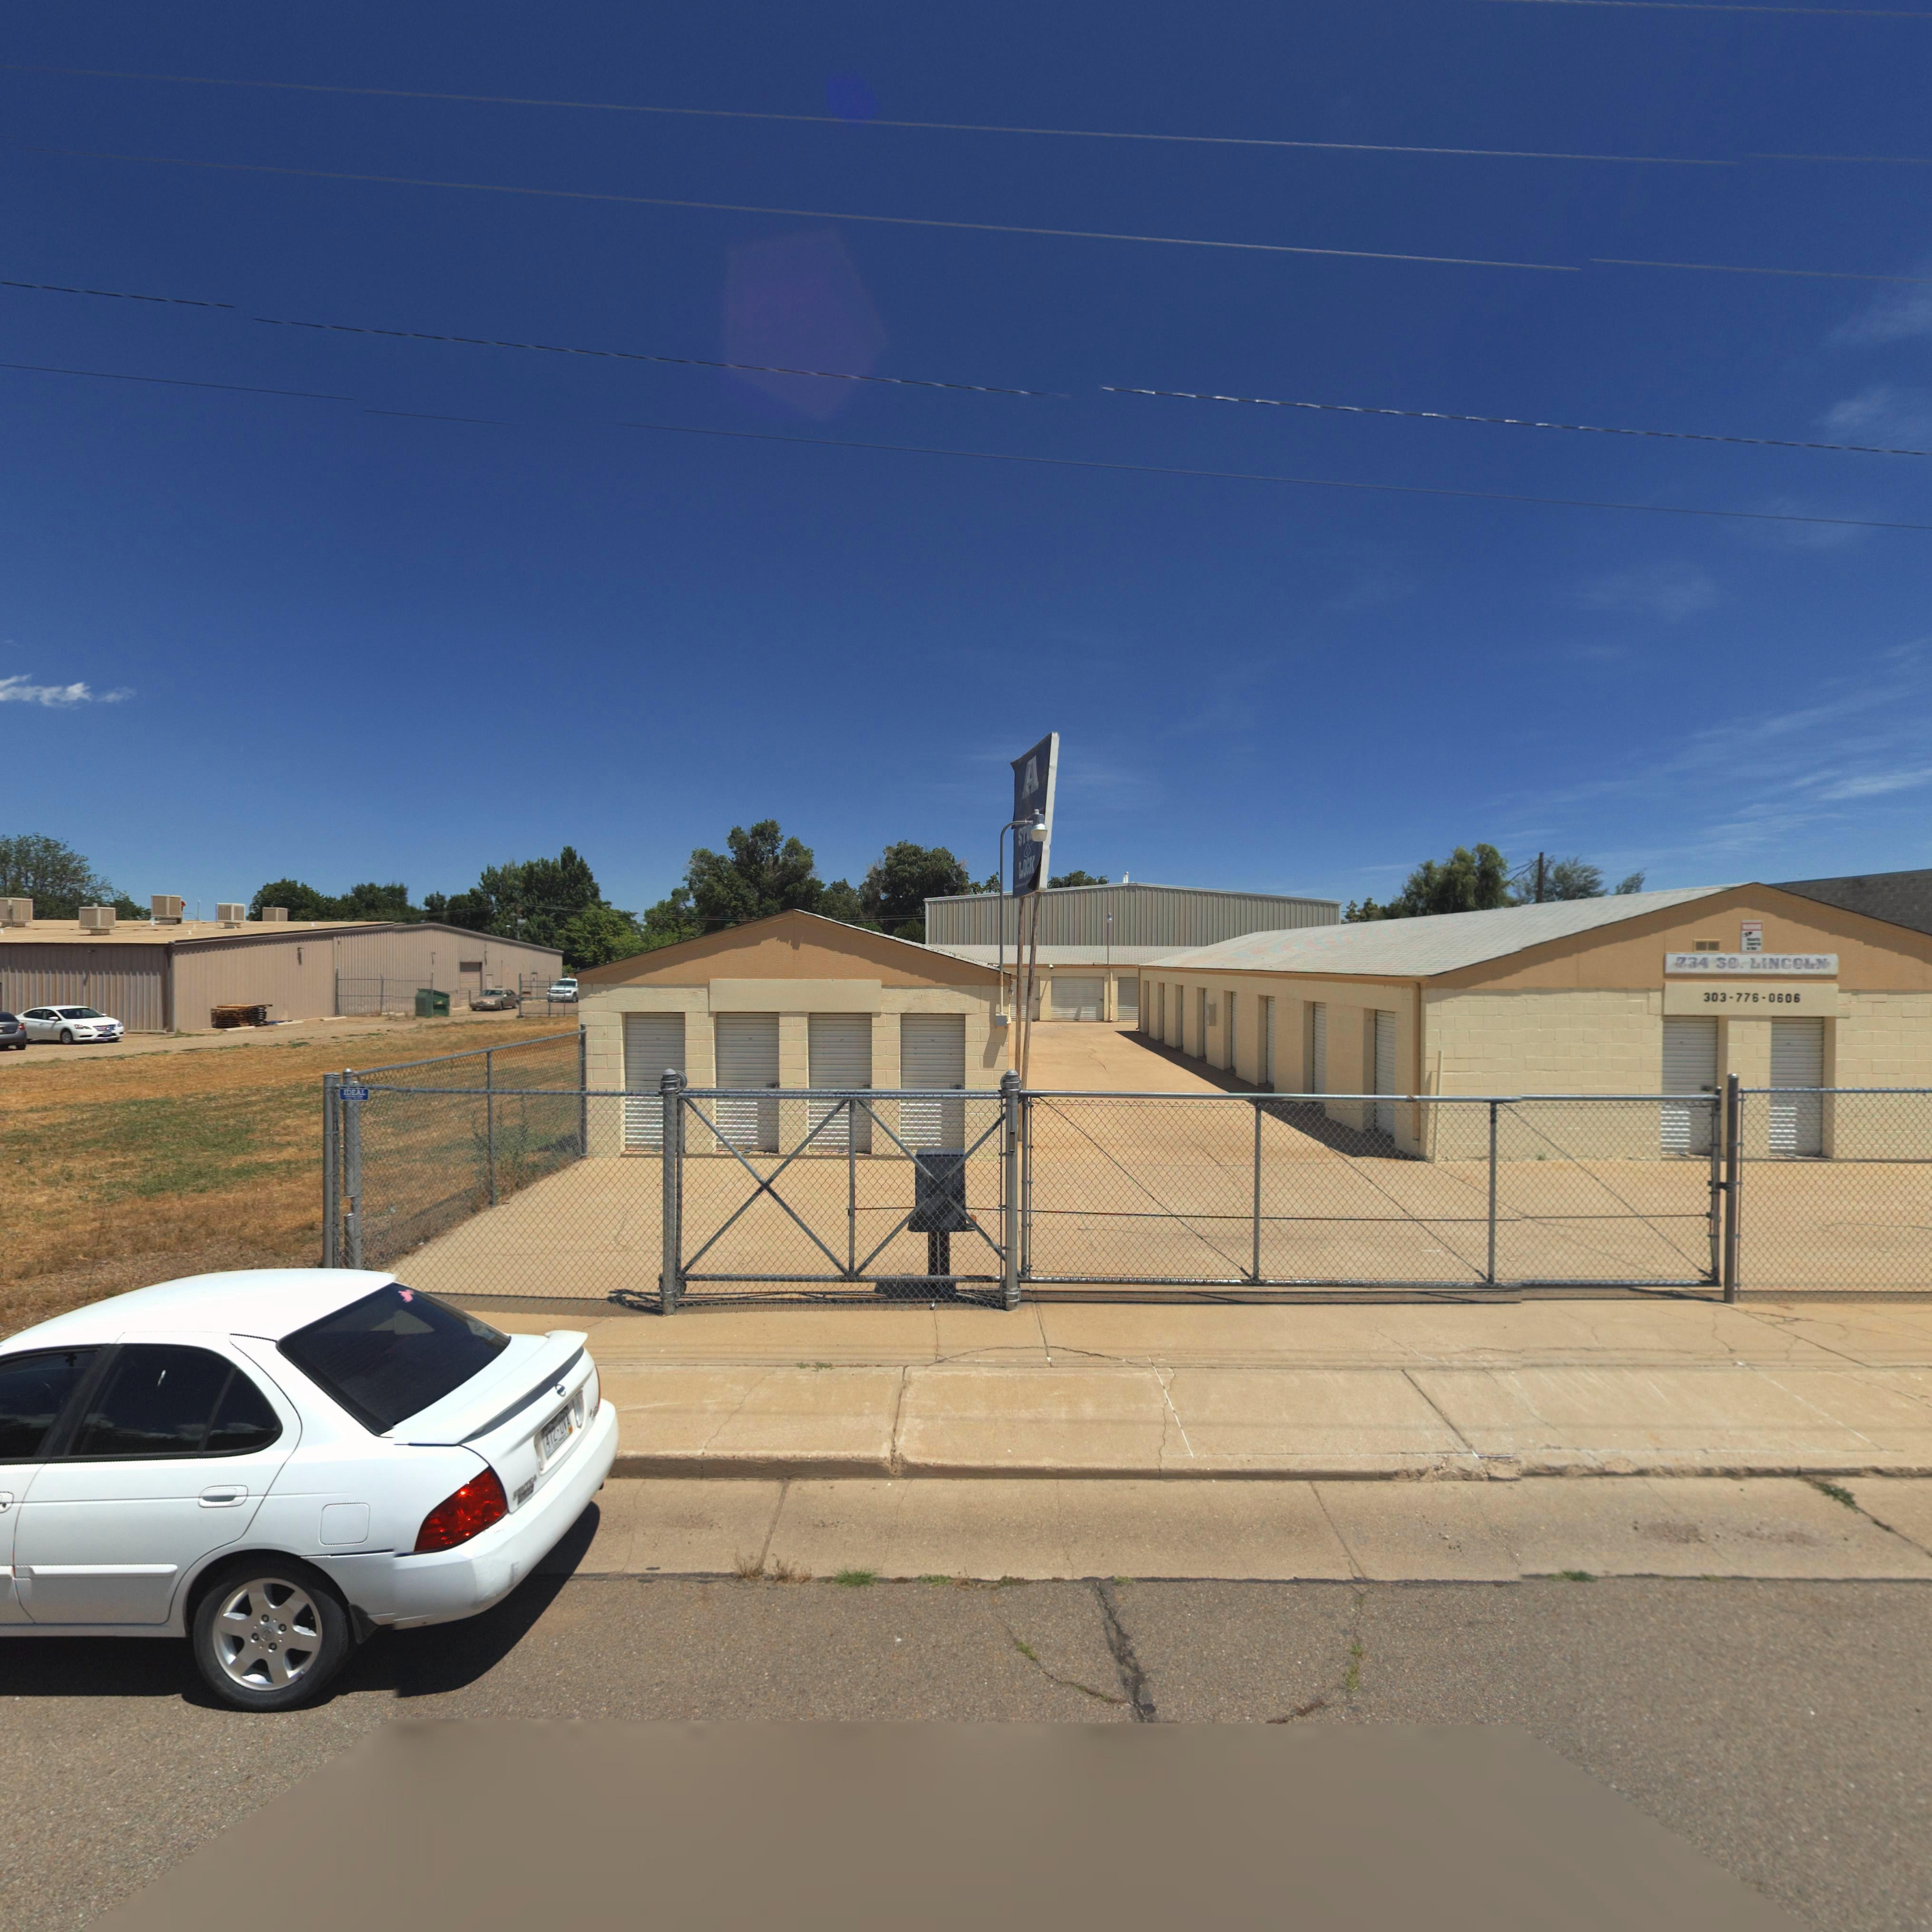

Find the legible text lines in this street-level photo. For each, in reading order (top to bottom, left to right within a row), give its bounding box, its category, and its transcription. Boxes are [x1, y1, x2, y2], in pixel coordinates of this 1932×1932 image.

[1020, 754, 1040, 801] BusinessName: A
[1017, 821, 1033, 847] BusinessName: STU*
[1023, 841, 1033, 857] BusinessName: &
[1017, 854, 1035, 880] BusinessName: LOCK
[1676, 956, 1710, 969] StreetNumber: 734
[1715, 956, 1827, 970] StreetName: SO. LINCOLN